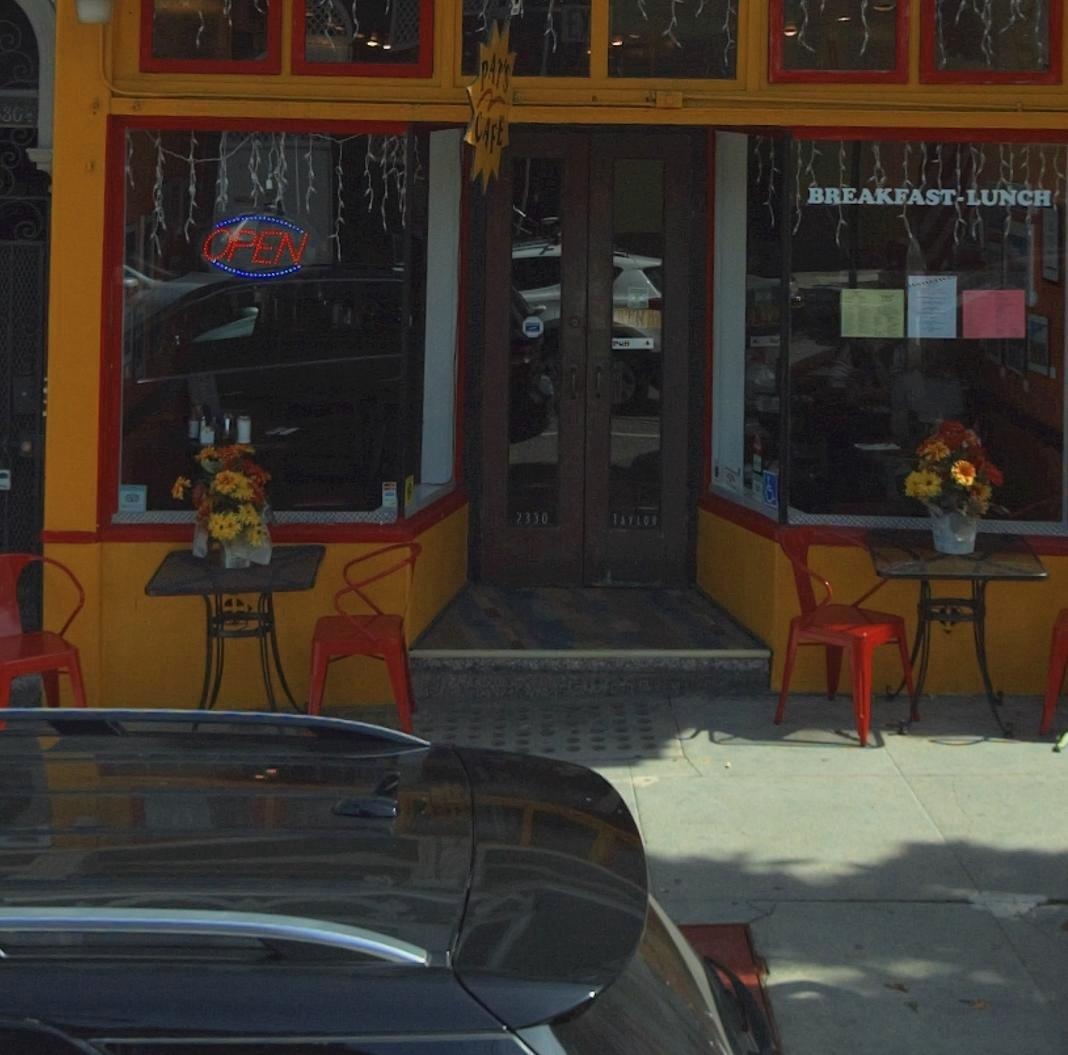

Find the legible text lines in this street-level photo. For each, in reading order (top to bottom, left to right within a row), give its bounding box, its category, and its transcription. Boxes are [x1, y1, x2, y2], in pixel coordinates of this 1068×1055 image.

[480, 50, 513, 95] BusinessName: PAT'S
[472, 109, 506, 157] BusinessName: CAFE
[806, 185, 1053, 208] None: BREAKFAST LUNCH
[202, 226, 311, 269] None: OPEN
[515, 510, 551, 527] StreetNumber: 2330
[610, 512, 659, 529] StreetName: ***LOR